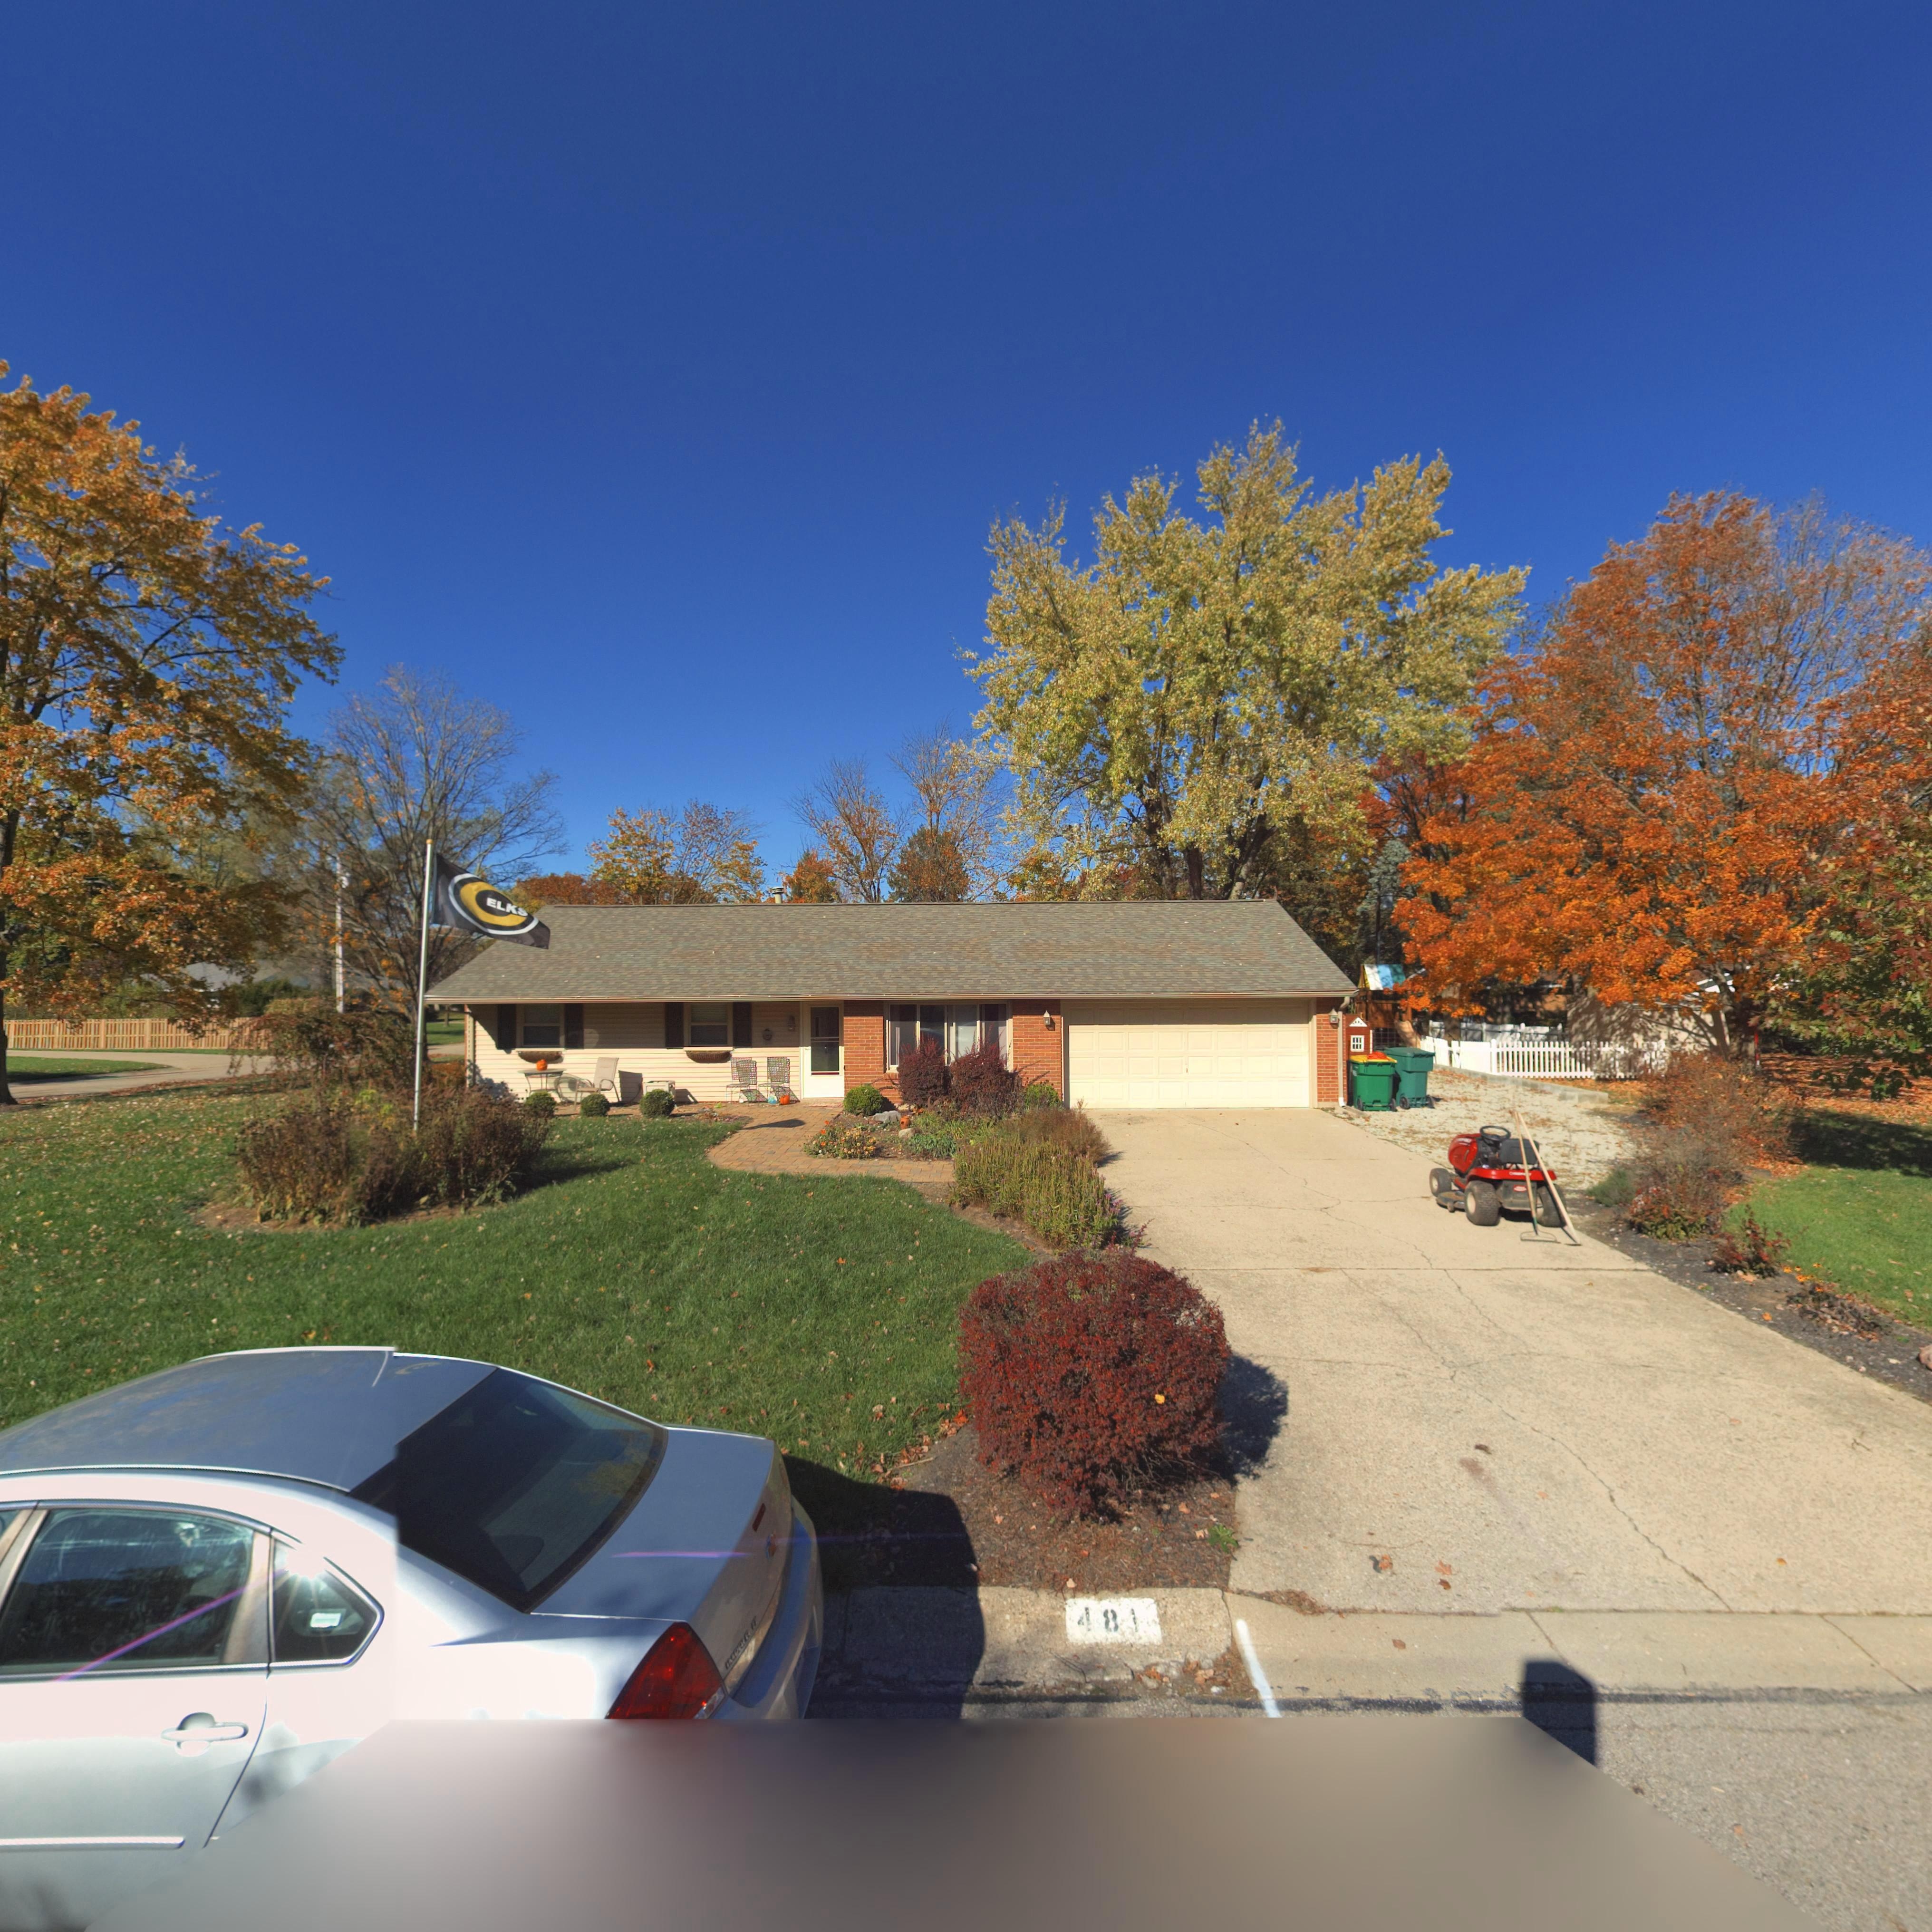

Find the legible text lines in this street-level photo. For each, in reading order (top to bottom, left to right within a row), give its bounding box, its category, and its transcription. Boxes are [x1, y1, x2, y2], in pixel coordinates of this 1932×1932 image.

[485, 896, 519, 916] None: ELK
[1075, 1605, 1141, 1634] StreetNumber: 481